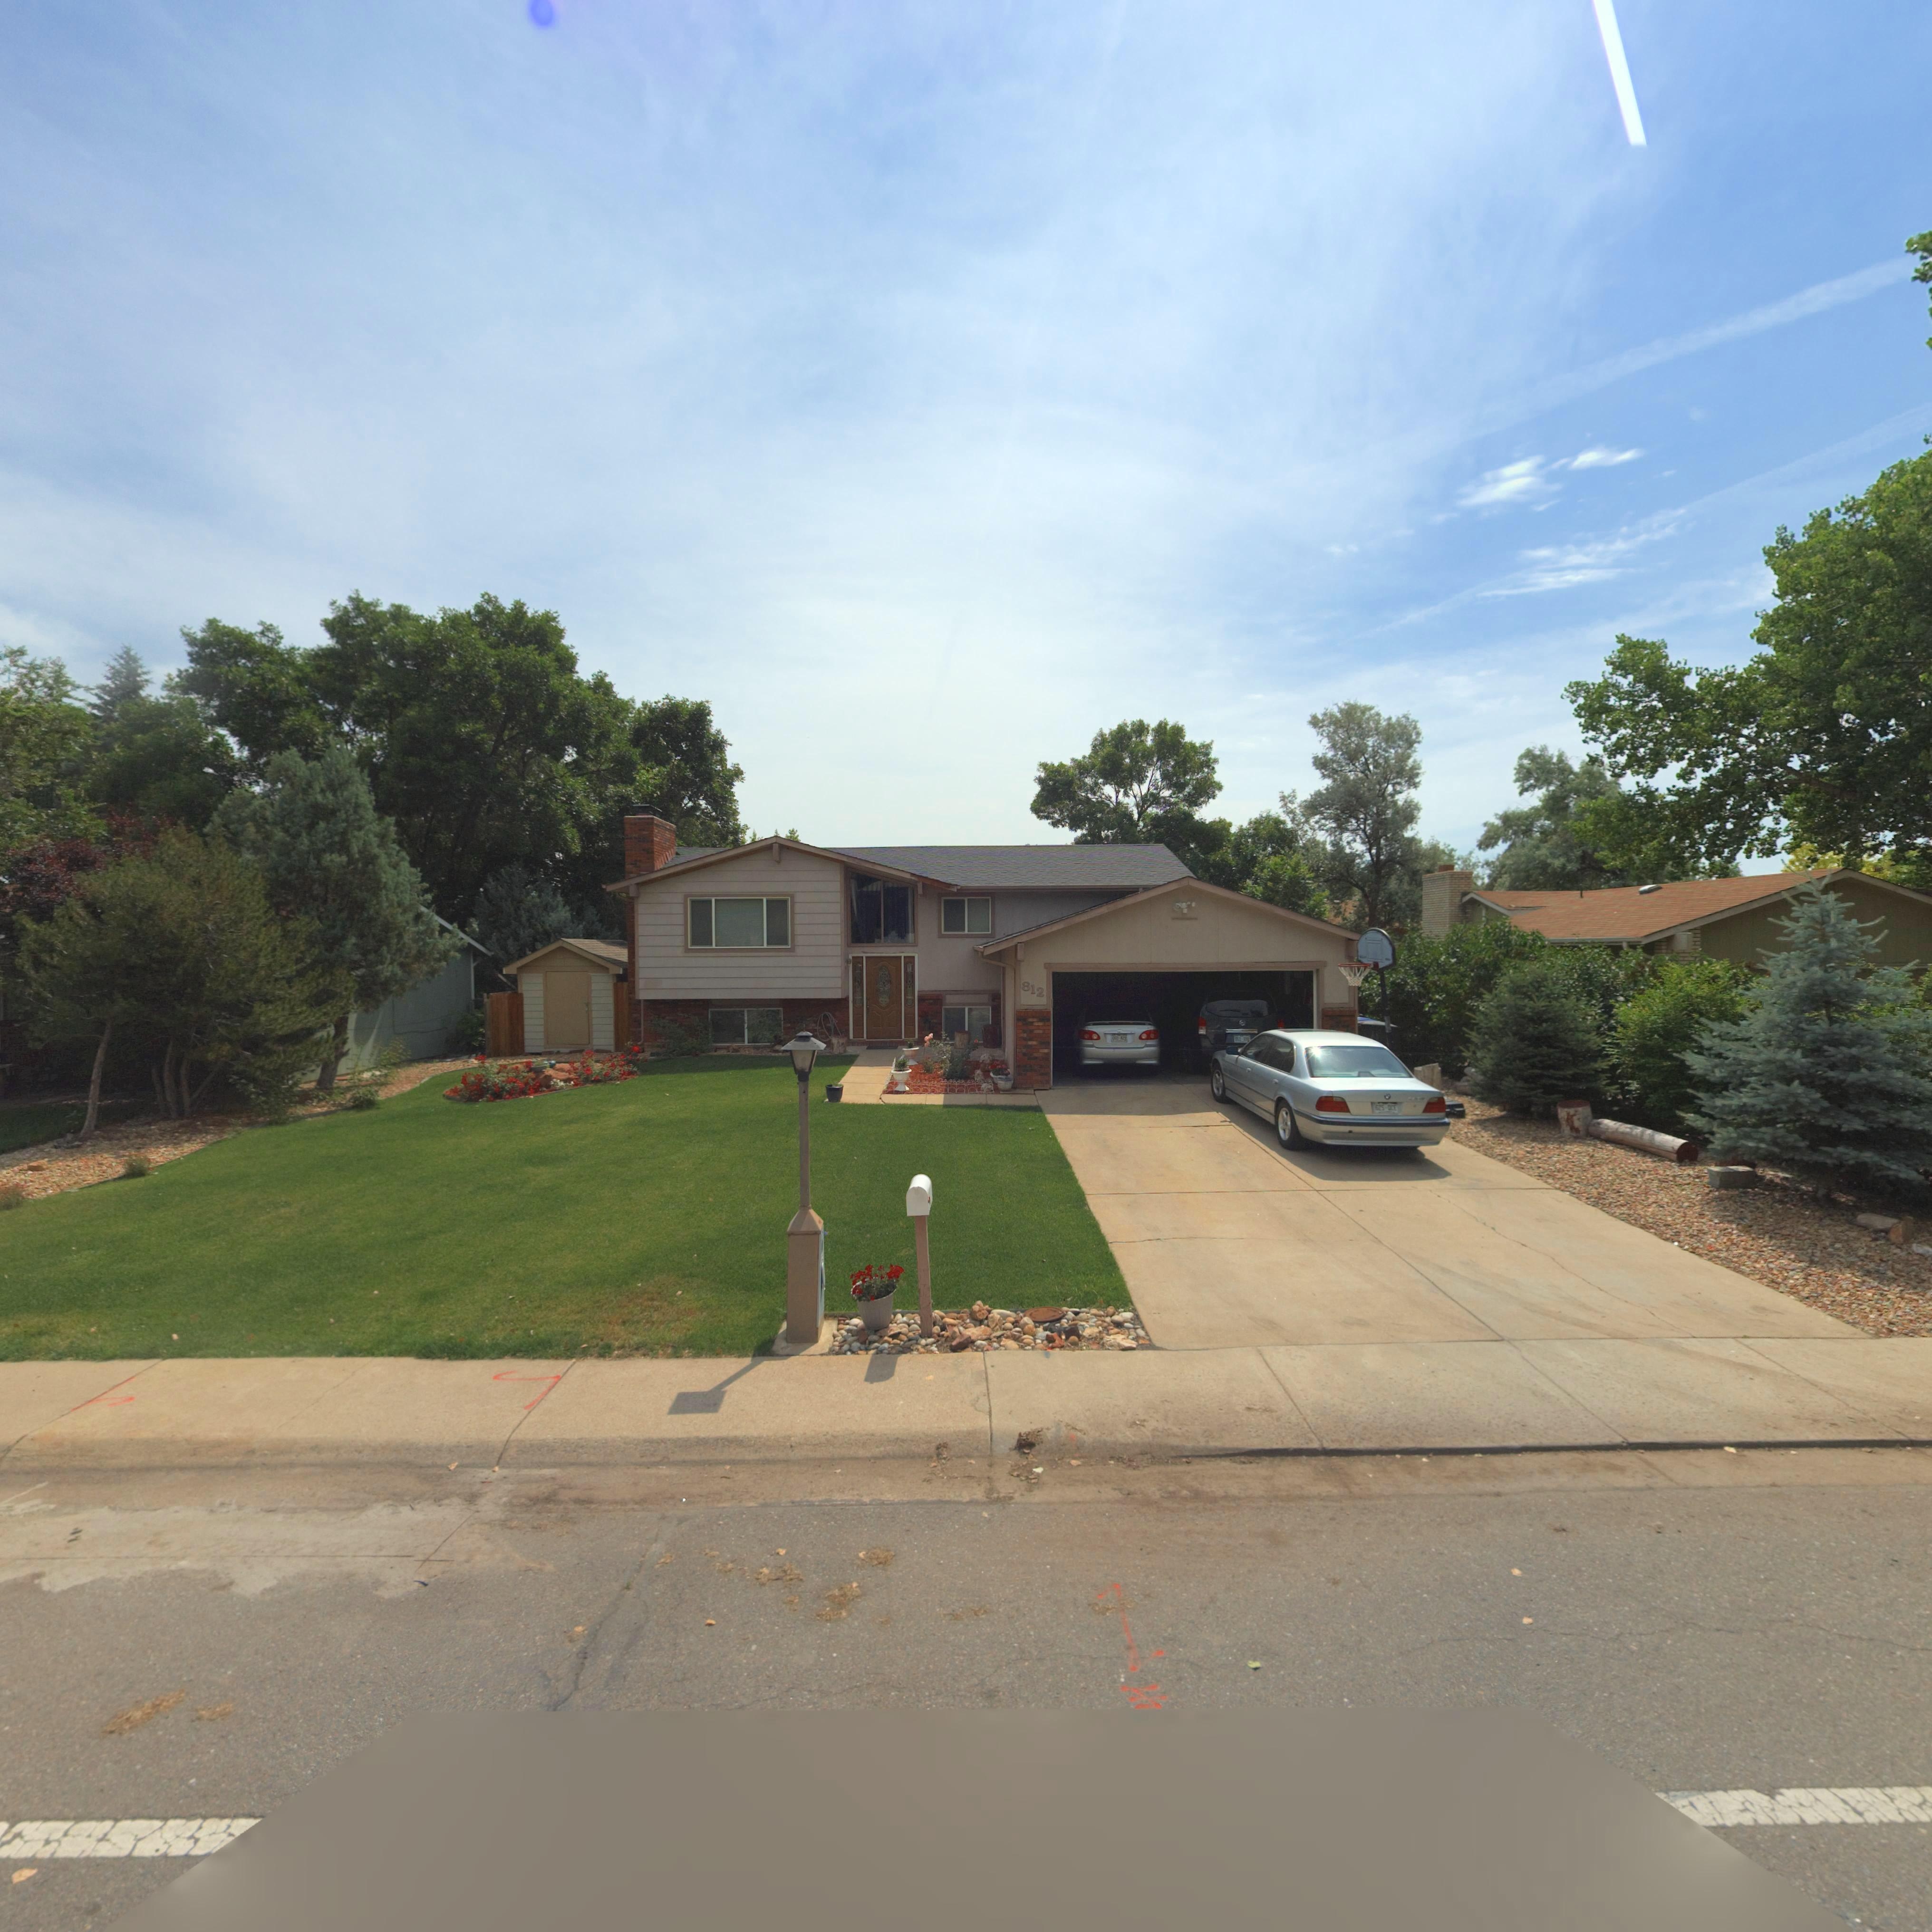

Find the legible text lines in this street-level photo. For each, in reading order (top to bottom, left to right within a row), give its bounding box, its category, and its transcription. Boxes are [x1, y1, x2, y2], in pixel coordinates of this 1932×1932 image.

[1021, 981, 1044, 996] StreetNumber: 812